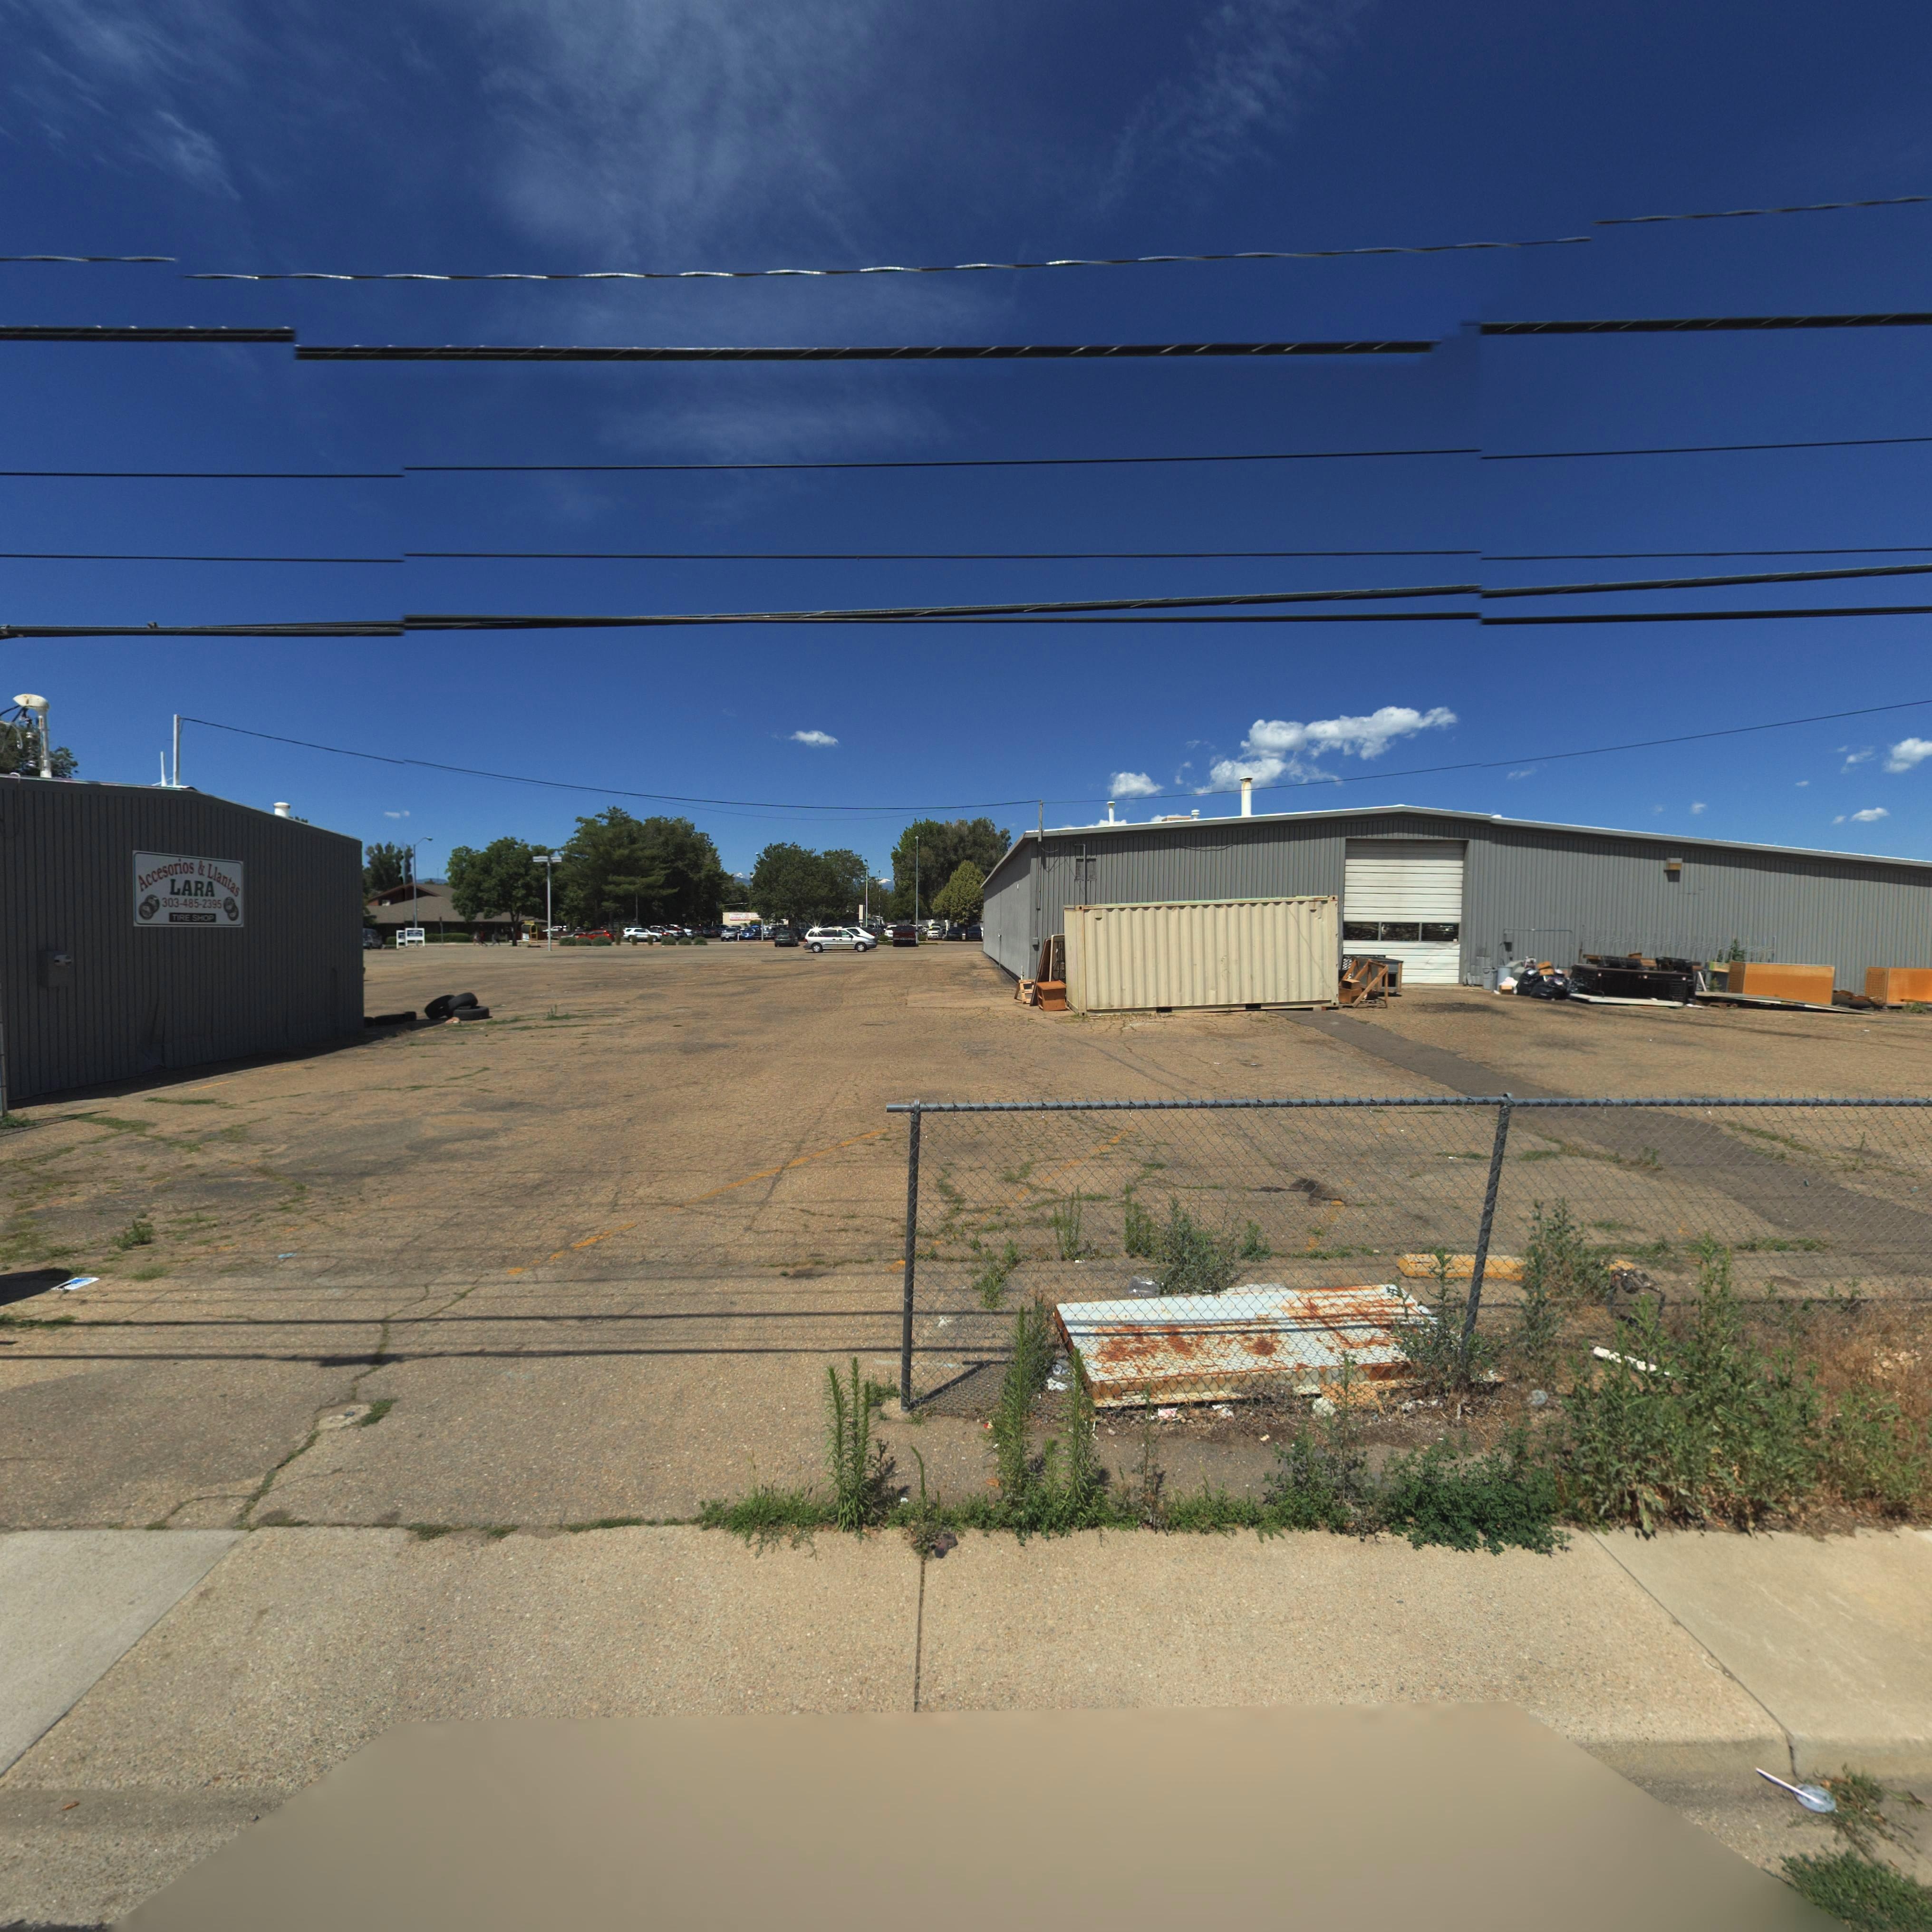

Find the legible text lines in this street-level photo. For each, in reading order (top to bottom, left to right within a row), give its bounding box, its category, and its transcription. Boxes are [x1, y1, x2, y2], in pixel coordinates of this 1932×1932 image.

[136, 857, 241, 898] BusinessName: Accesorios & Llantas
[169, 878, 215, 898] BusinessName: LARA